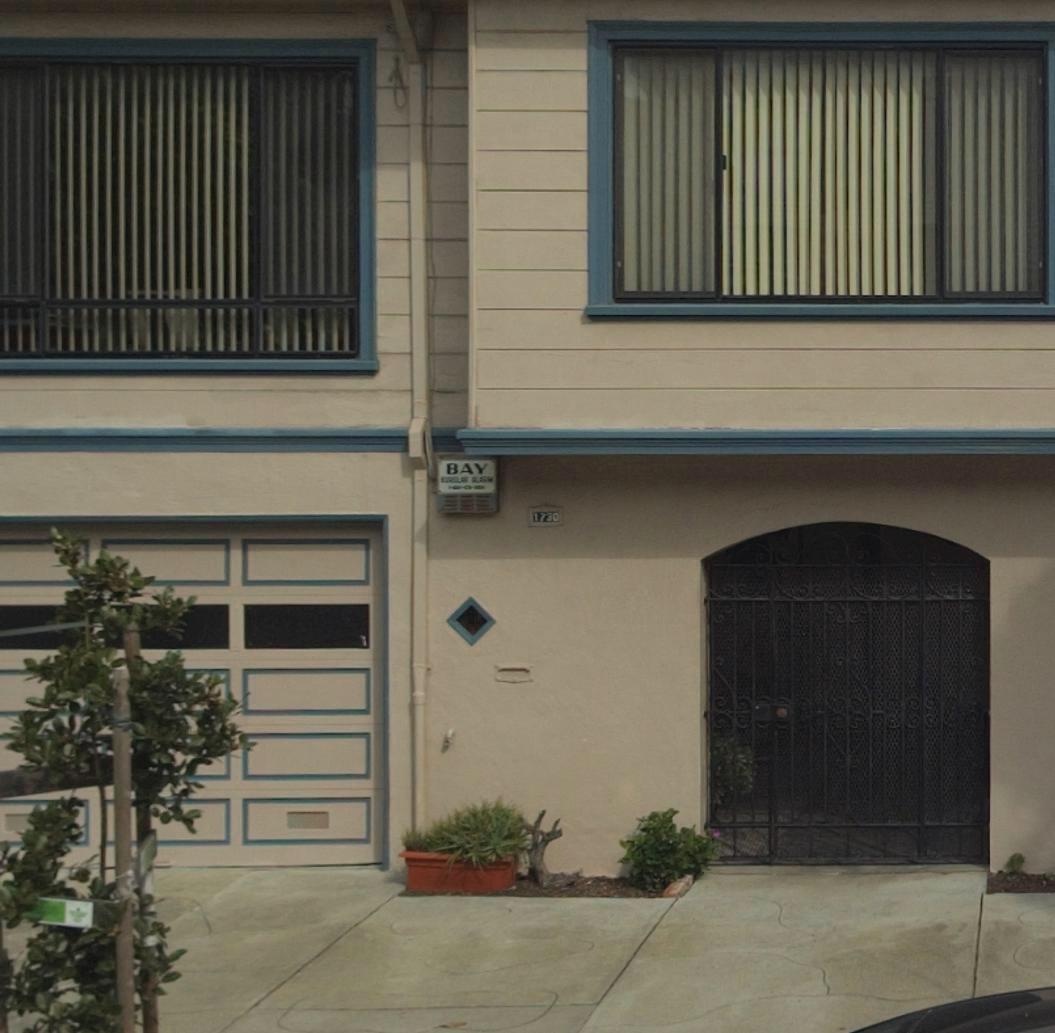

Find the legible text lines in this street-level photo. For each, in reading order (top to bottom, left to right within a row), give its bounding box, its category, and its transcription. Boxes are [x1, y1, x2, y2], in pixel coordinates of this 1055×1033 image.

[445, 461, 488, 475] None: BAY
[533, 512, 559, 522] StreetNumber: 1730